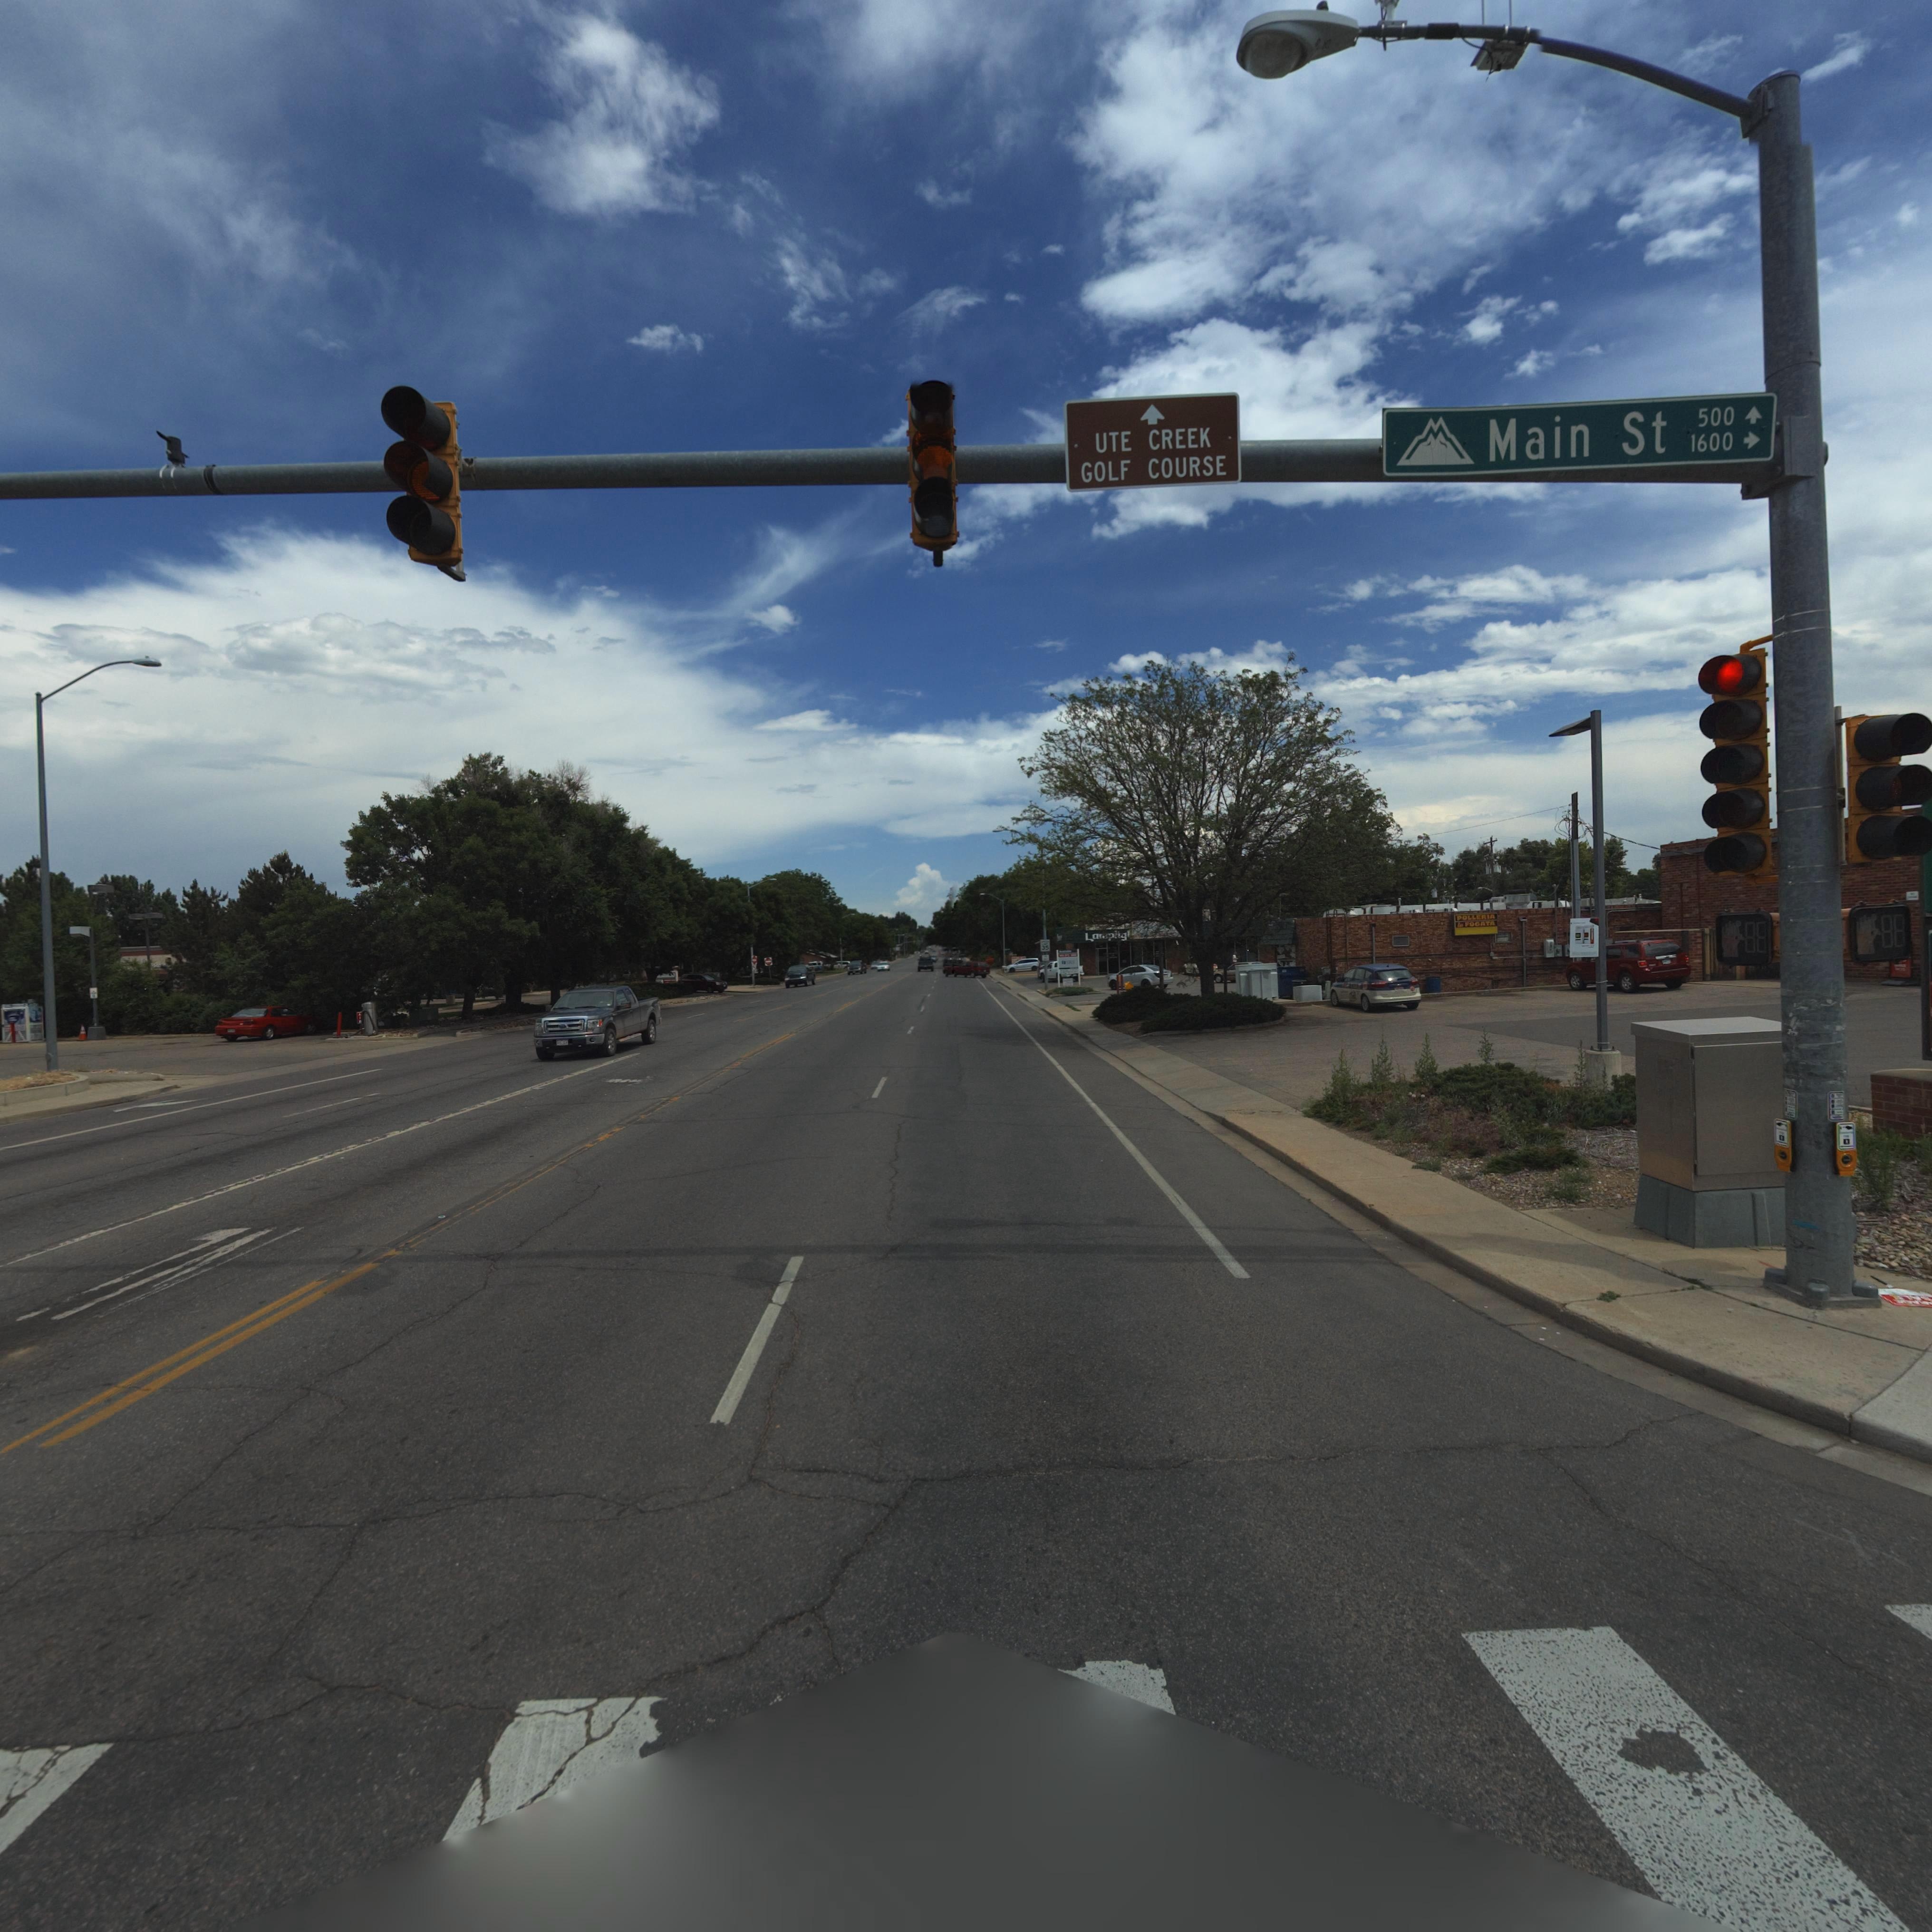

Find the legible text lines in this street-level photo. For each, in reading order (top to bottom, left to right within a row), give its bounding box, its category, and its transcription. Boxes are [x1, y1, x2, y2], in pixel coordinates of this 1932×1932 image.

[1697, 405, 1735, 427] StreetNumberRange: 500
[1488, 410, 1667, 462] StreetName: Main St
[1690, 430, 1762, 453] StreetNumberRange: 1600->
[1456, 913, 1496, 921] BusinessName: *OLL*RIA
[1457, 920, 1496, 927] BusinessName: ** FOGA*A
[1084, 930, 1127, 942] BusinessName: La****